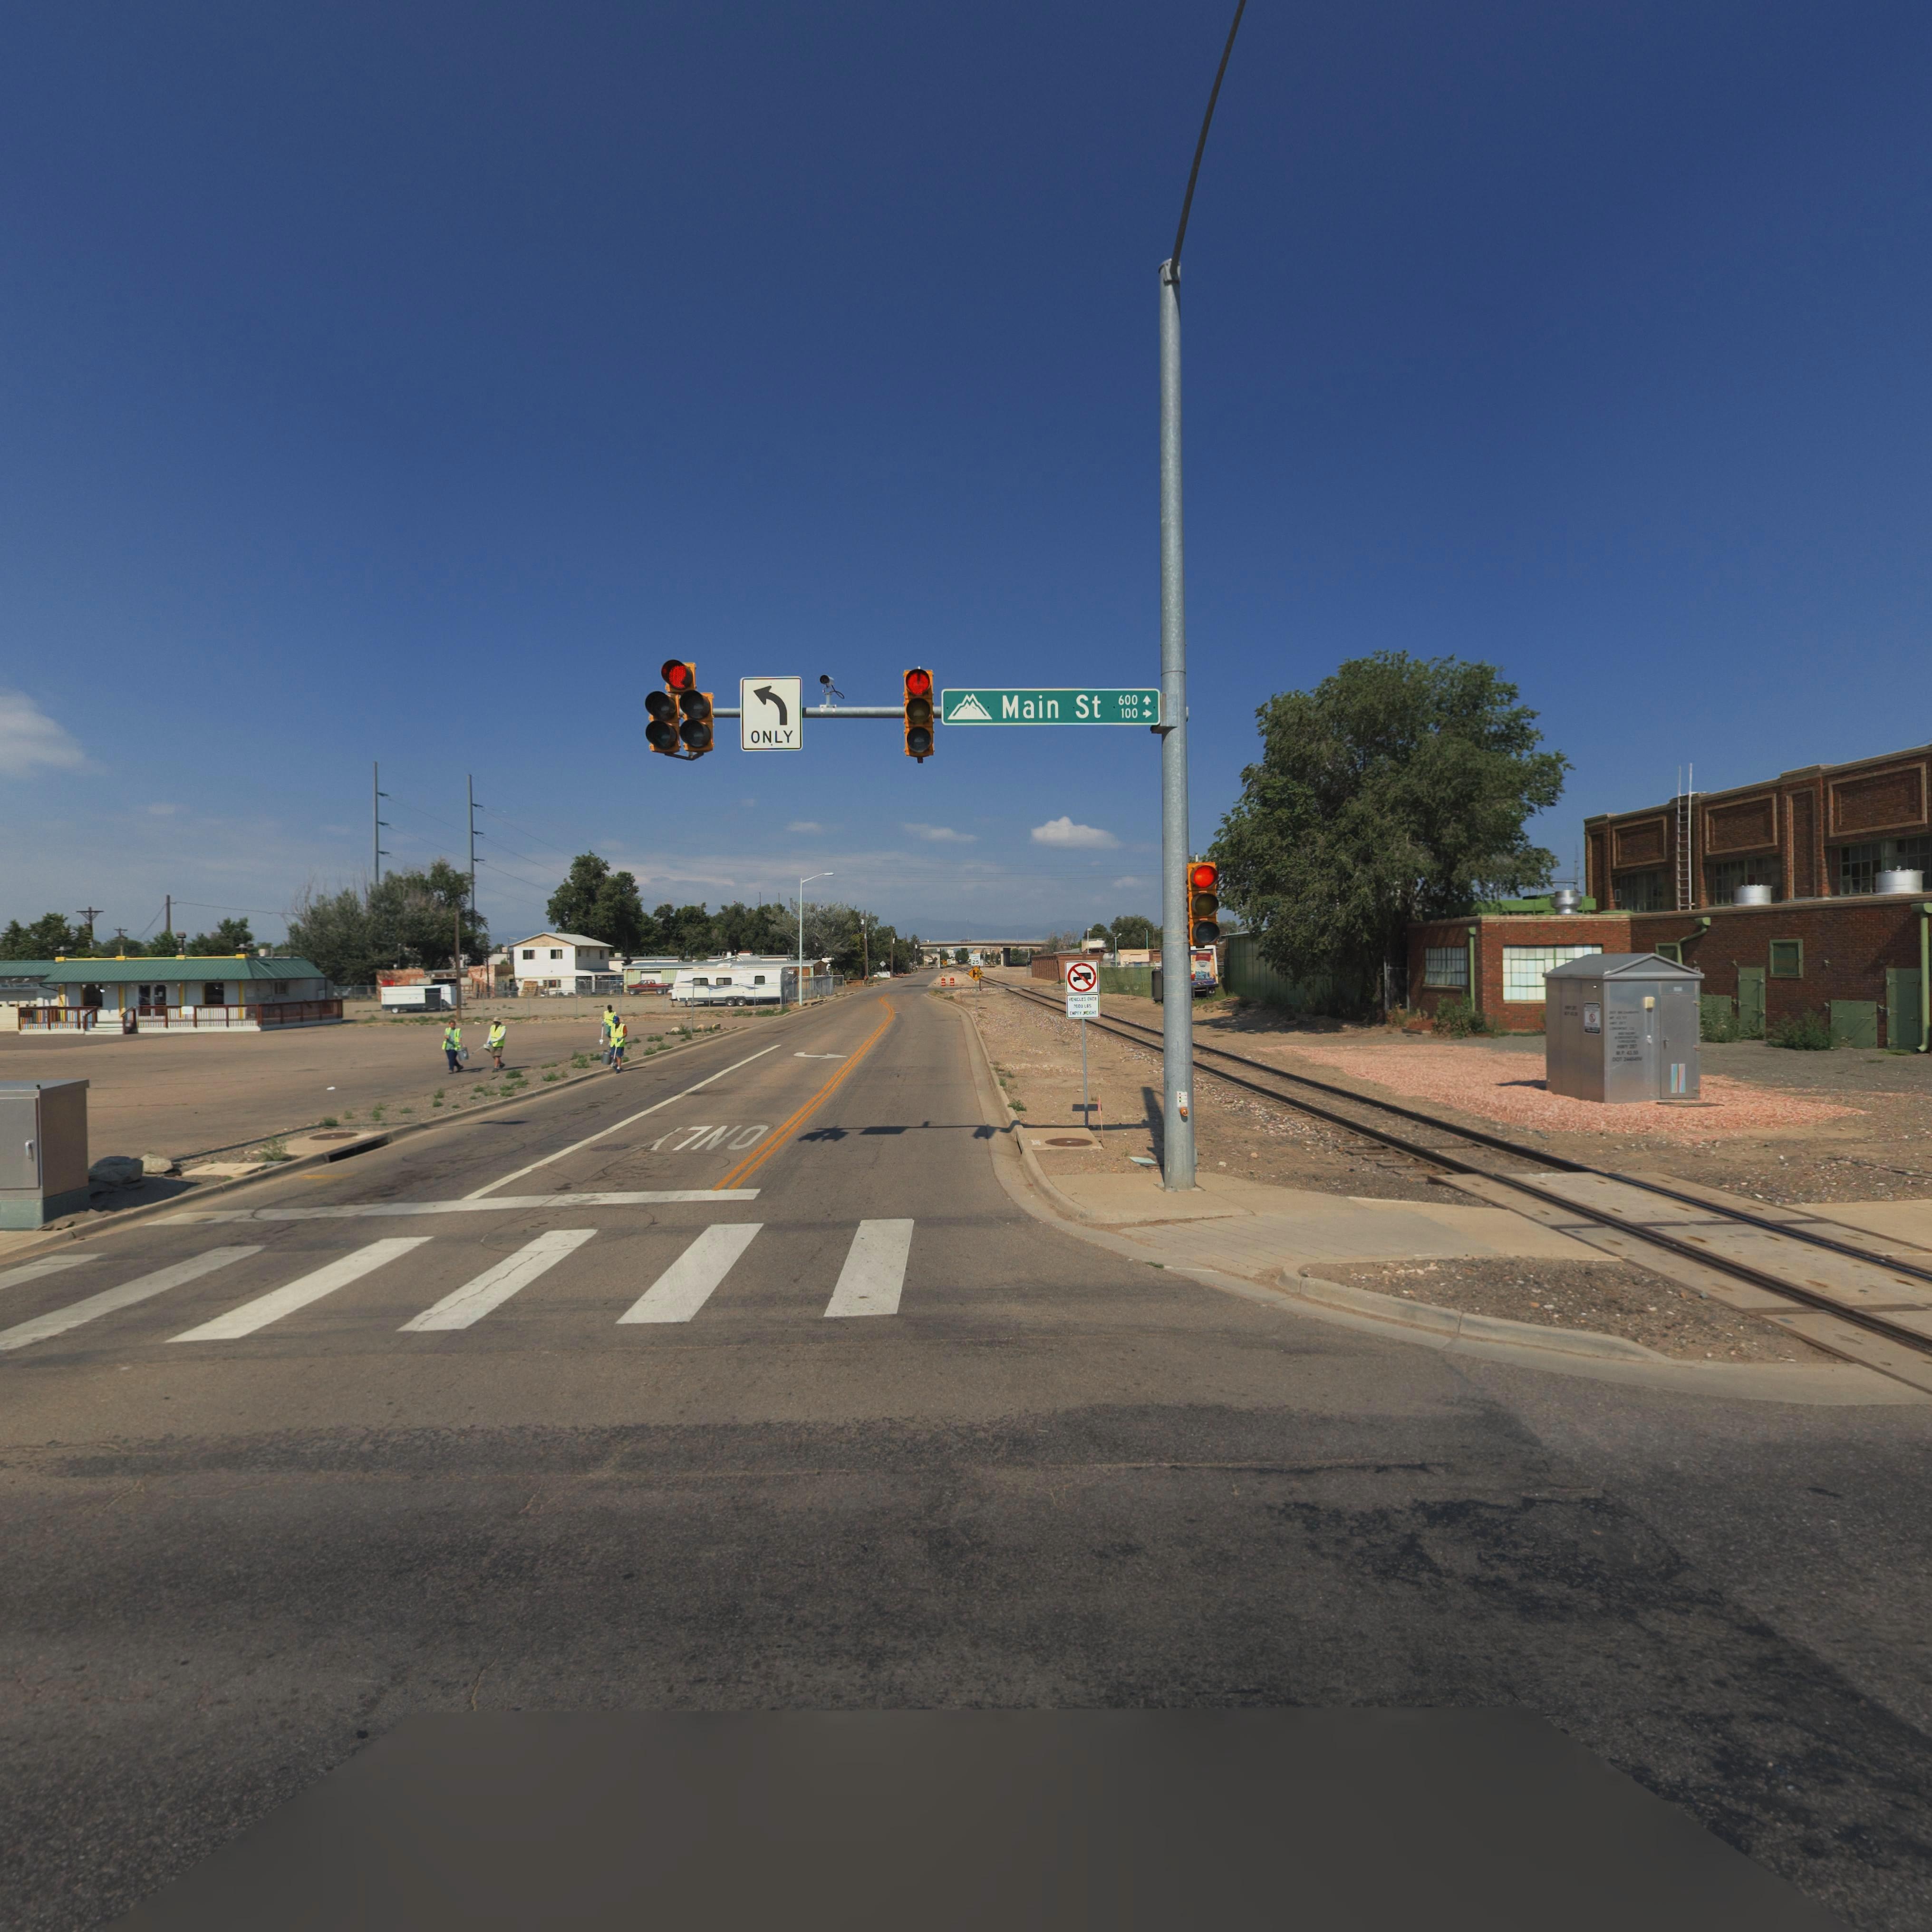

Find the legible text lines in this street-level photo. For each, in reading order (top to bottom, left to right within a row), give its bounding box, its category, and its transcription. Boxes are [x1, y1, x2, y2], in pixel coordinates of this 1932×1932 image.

[1118, 694, 1138, 705] StreetNumberRange: 600
[1002, 693, 1102, 719] StreetName: Main St
[1120, 707, 1152, 719] StreetNumberRange: 100 ->